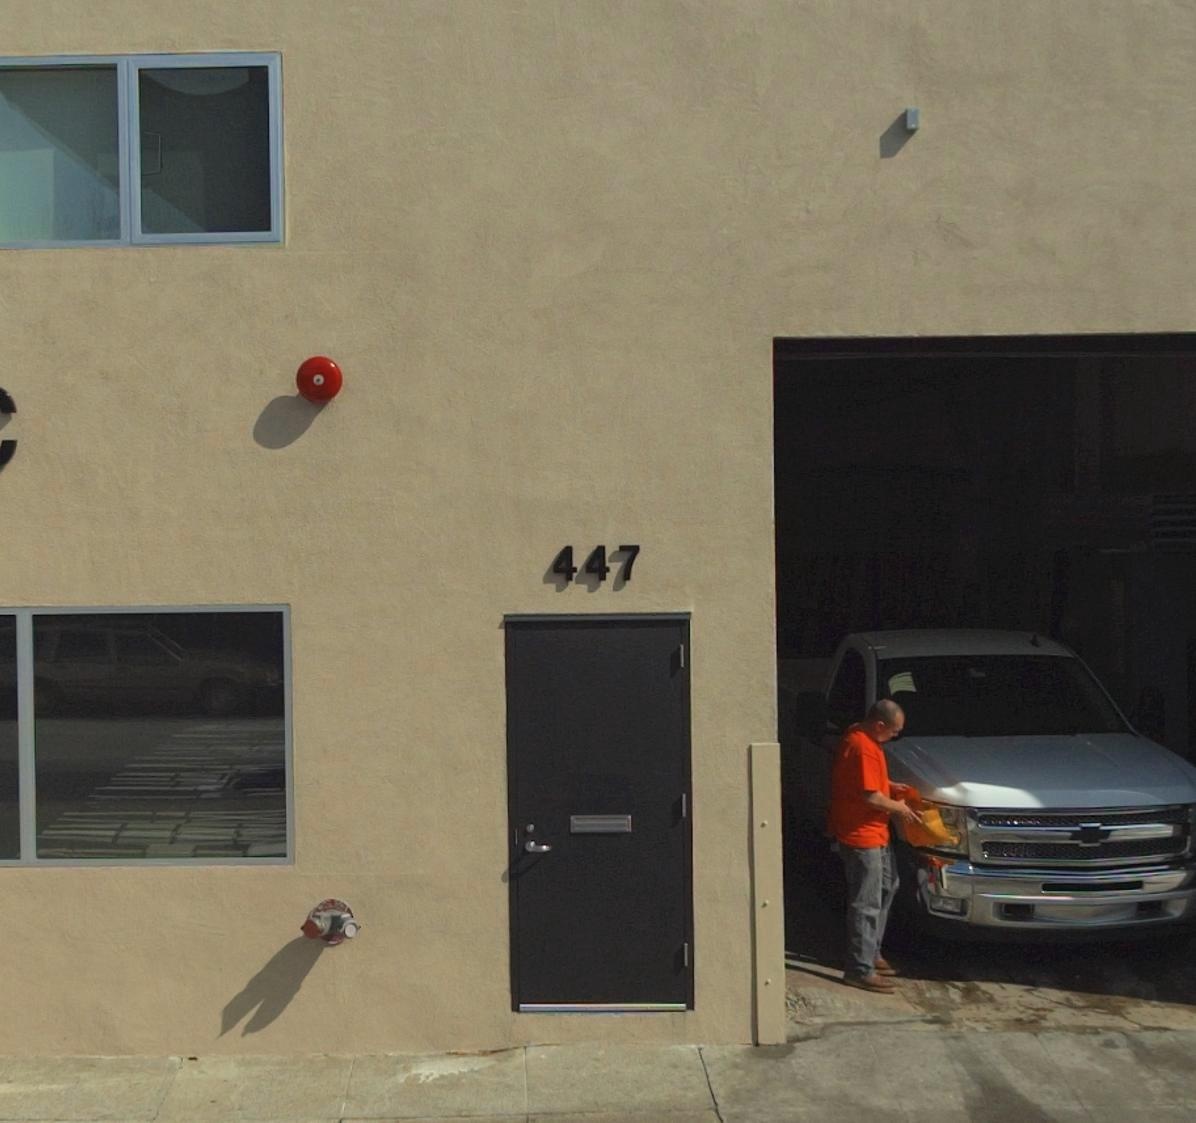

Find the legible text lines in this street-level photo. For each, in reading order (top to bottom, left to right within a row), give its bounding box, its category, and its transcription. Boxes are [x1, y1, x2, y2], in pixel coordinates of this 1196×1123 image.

[541, 540, 646, 587] StreetNumber: 447